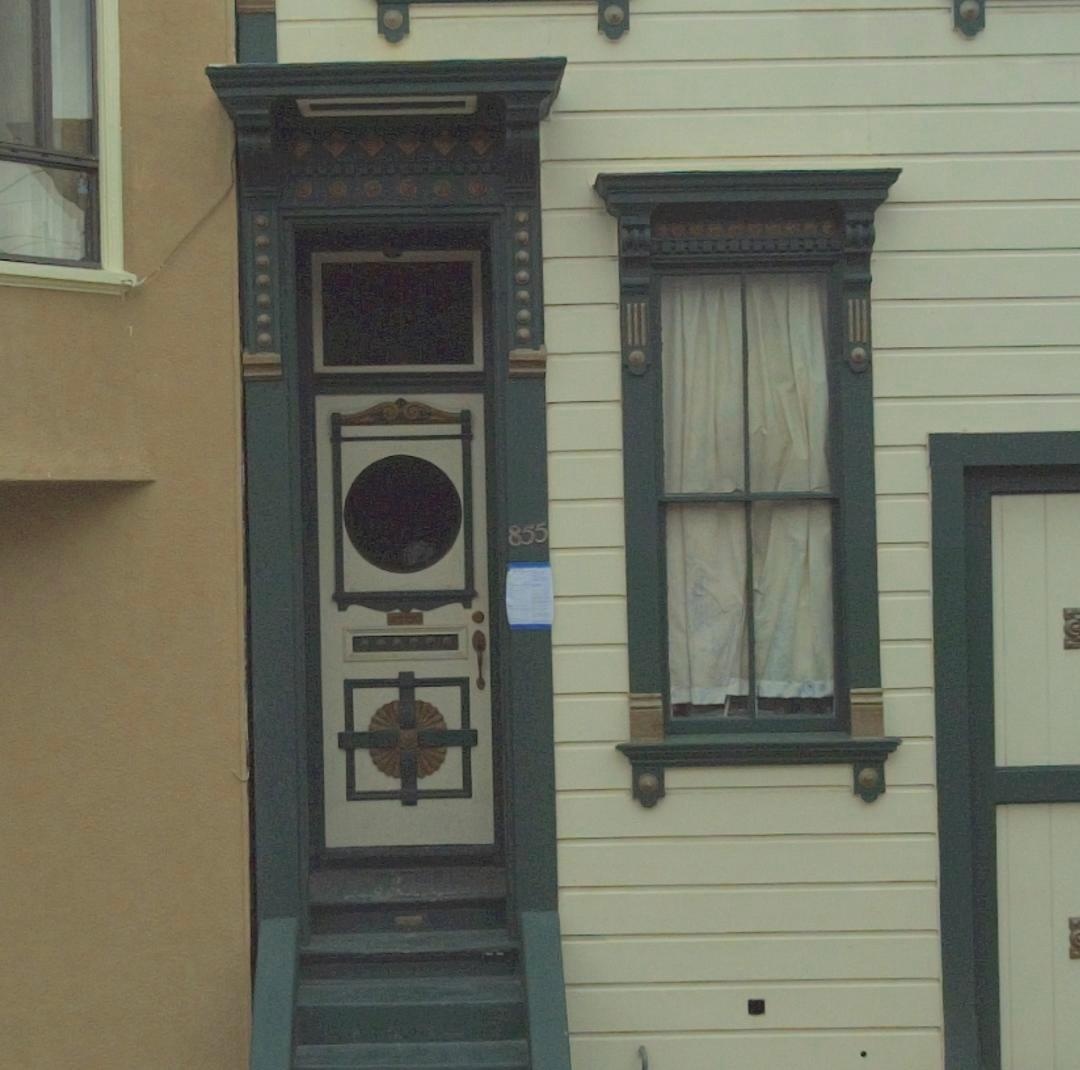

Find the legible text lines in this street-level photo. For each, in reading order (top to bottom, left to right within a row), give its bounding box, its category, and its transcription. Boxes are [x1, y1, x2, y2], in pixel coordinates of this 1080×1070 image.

[507, 519, 551, 548] StreetNumber: 855